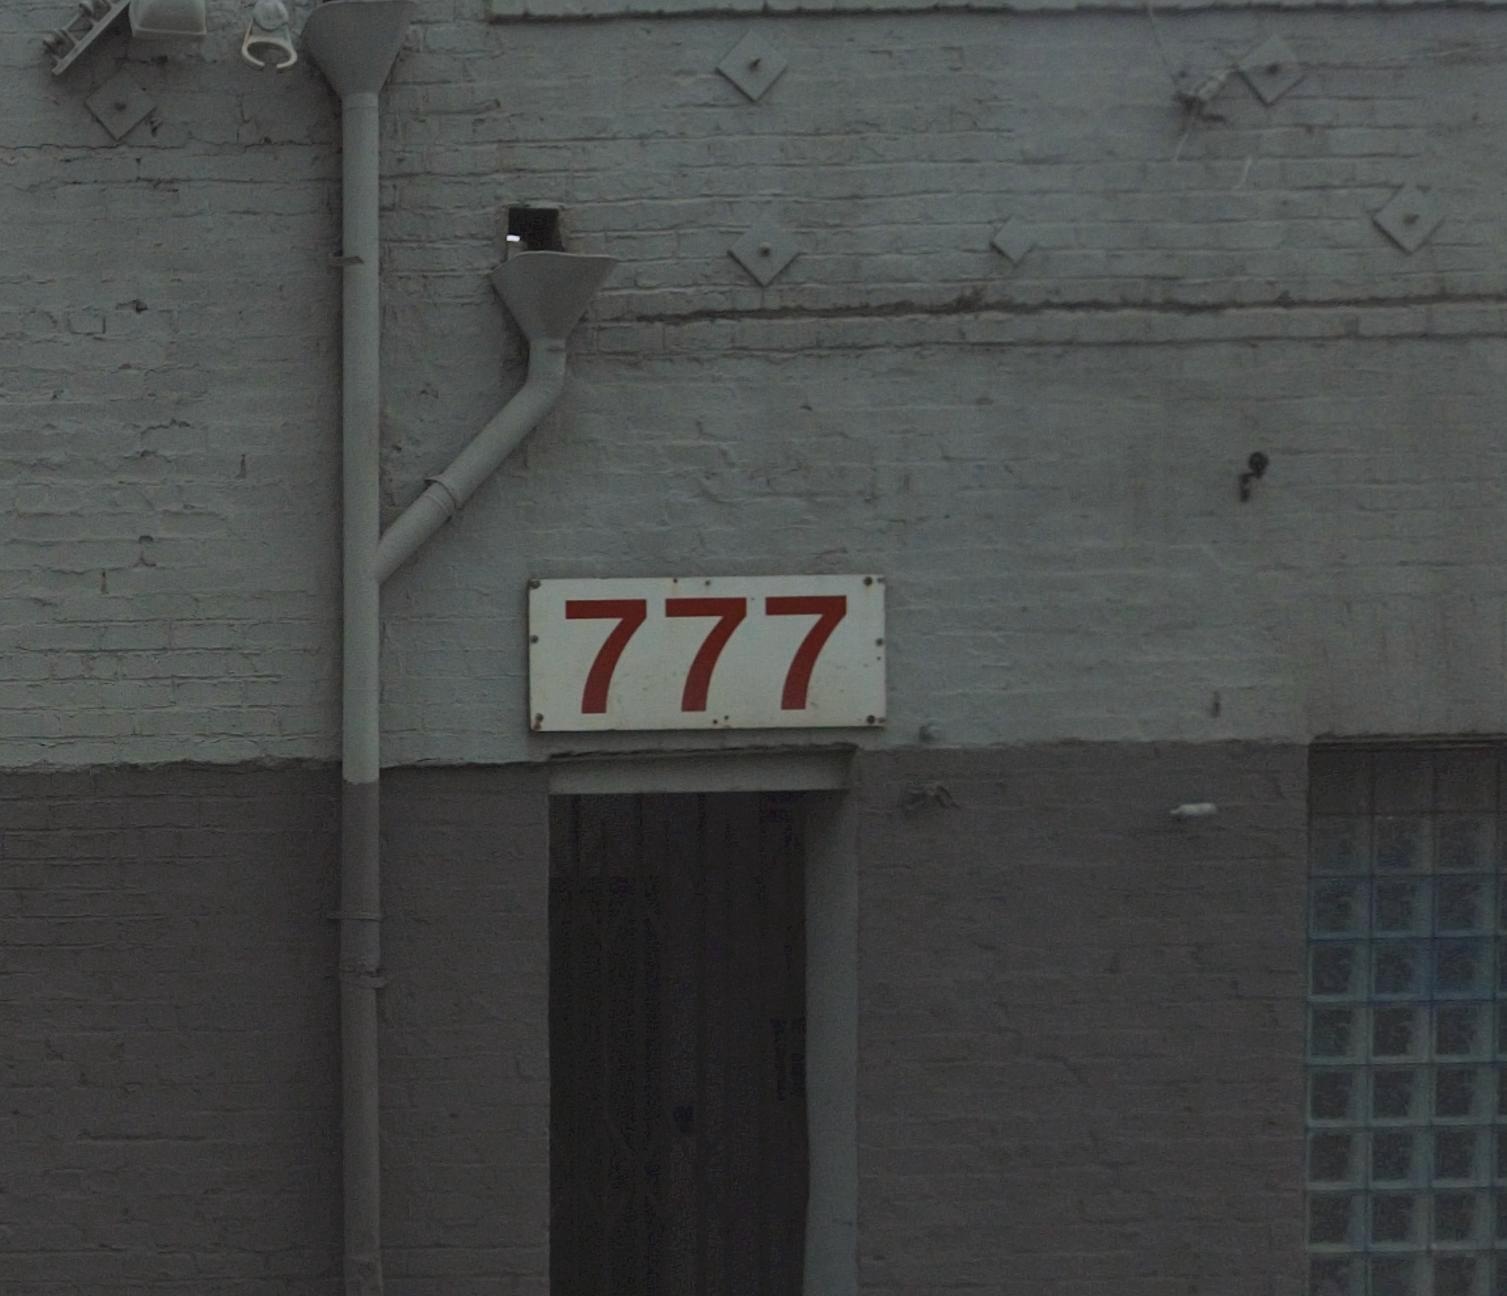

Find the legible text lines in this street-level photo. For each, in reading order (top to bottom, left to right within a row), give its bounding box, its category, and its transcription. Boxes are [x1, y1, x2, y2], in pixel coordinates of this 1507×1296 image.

[561, 589, 851, 721] StreetNumber: 777